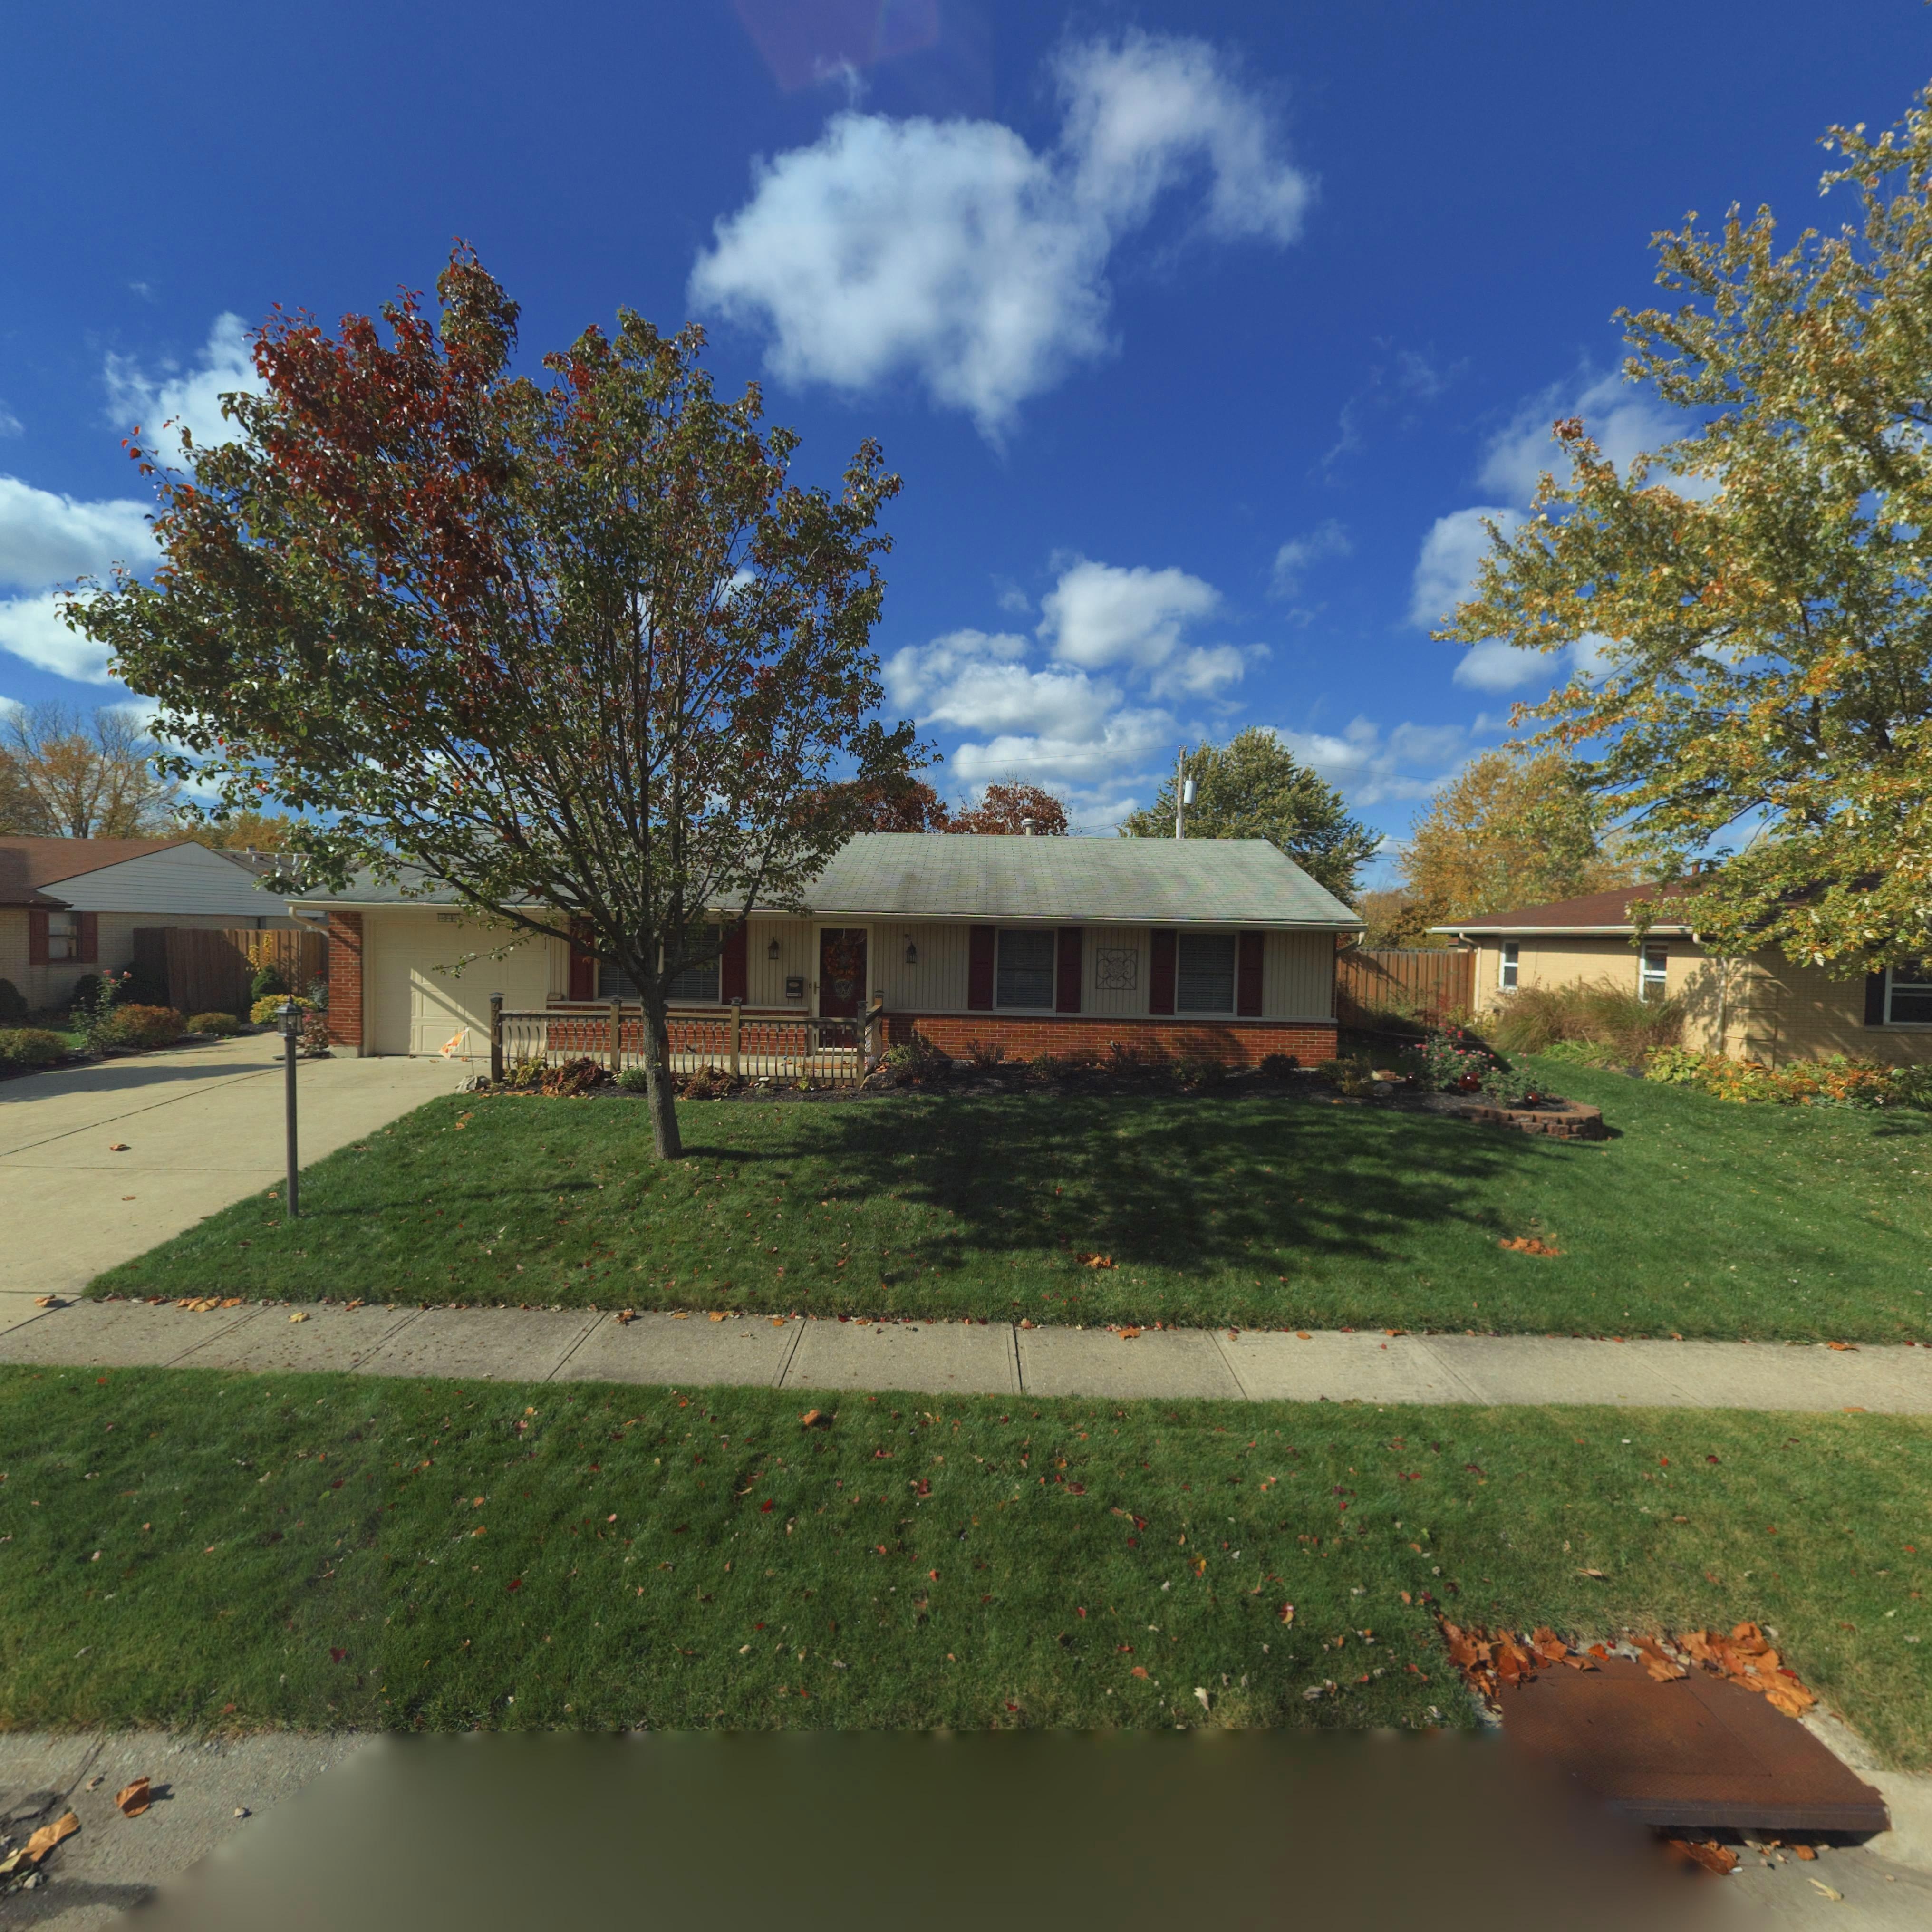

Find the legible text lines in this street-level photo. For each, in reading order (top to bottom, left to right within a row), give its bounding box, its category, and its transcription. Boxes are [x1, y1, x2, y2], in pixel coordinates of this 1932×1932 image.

[549, 995, 560, 999] StreetNumber: 77*1
[491, 999, 499, 1036] StreetNumber: 7731